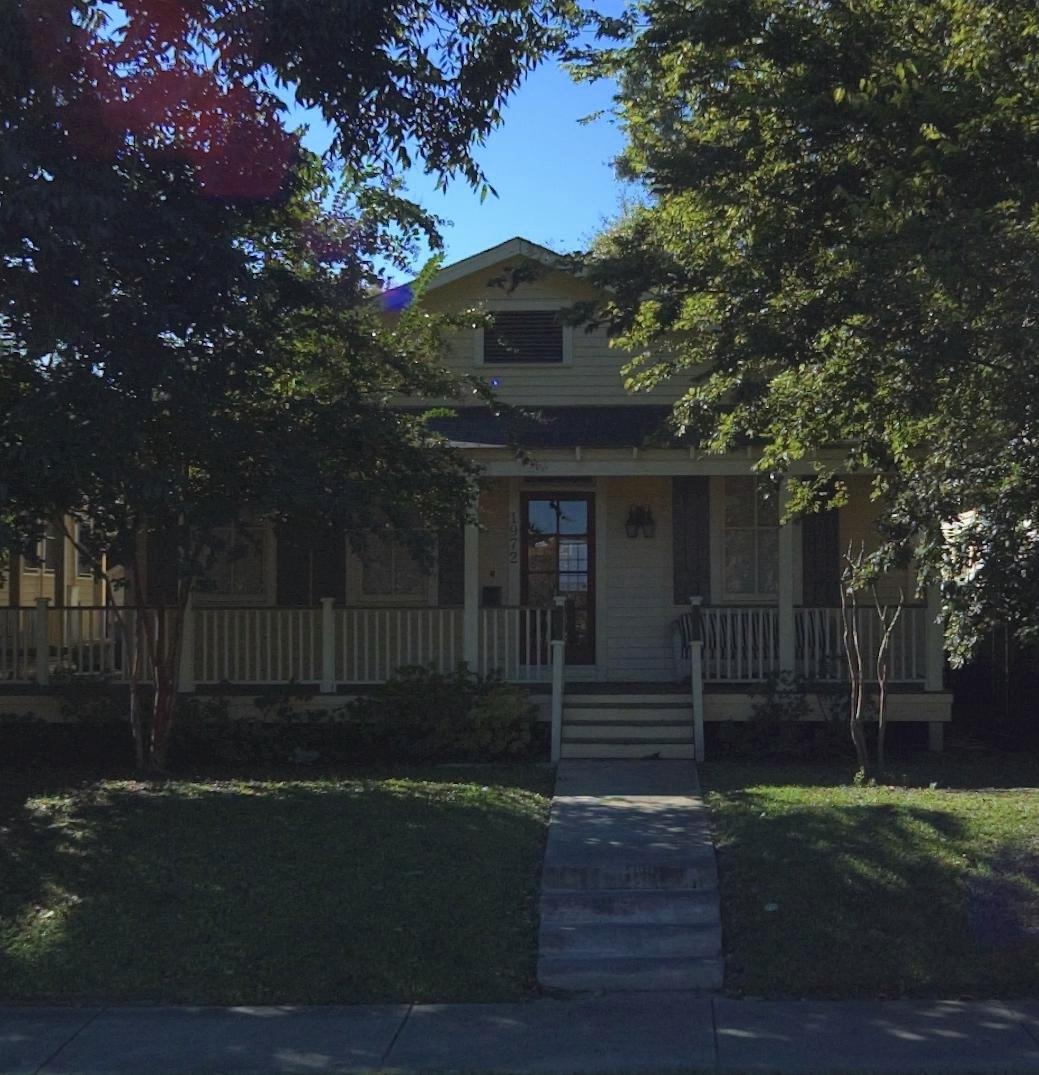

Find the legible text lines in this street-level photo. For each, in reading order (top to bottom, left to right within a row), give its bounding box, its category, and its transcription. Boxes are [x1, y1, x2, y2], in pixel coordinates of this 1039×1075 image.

[508, 510, 519, 565] StreetNumber: 1972